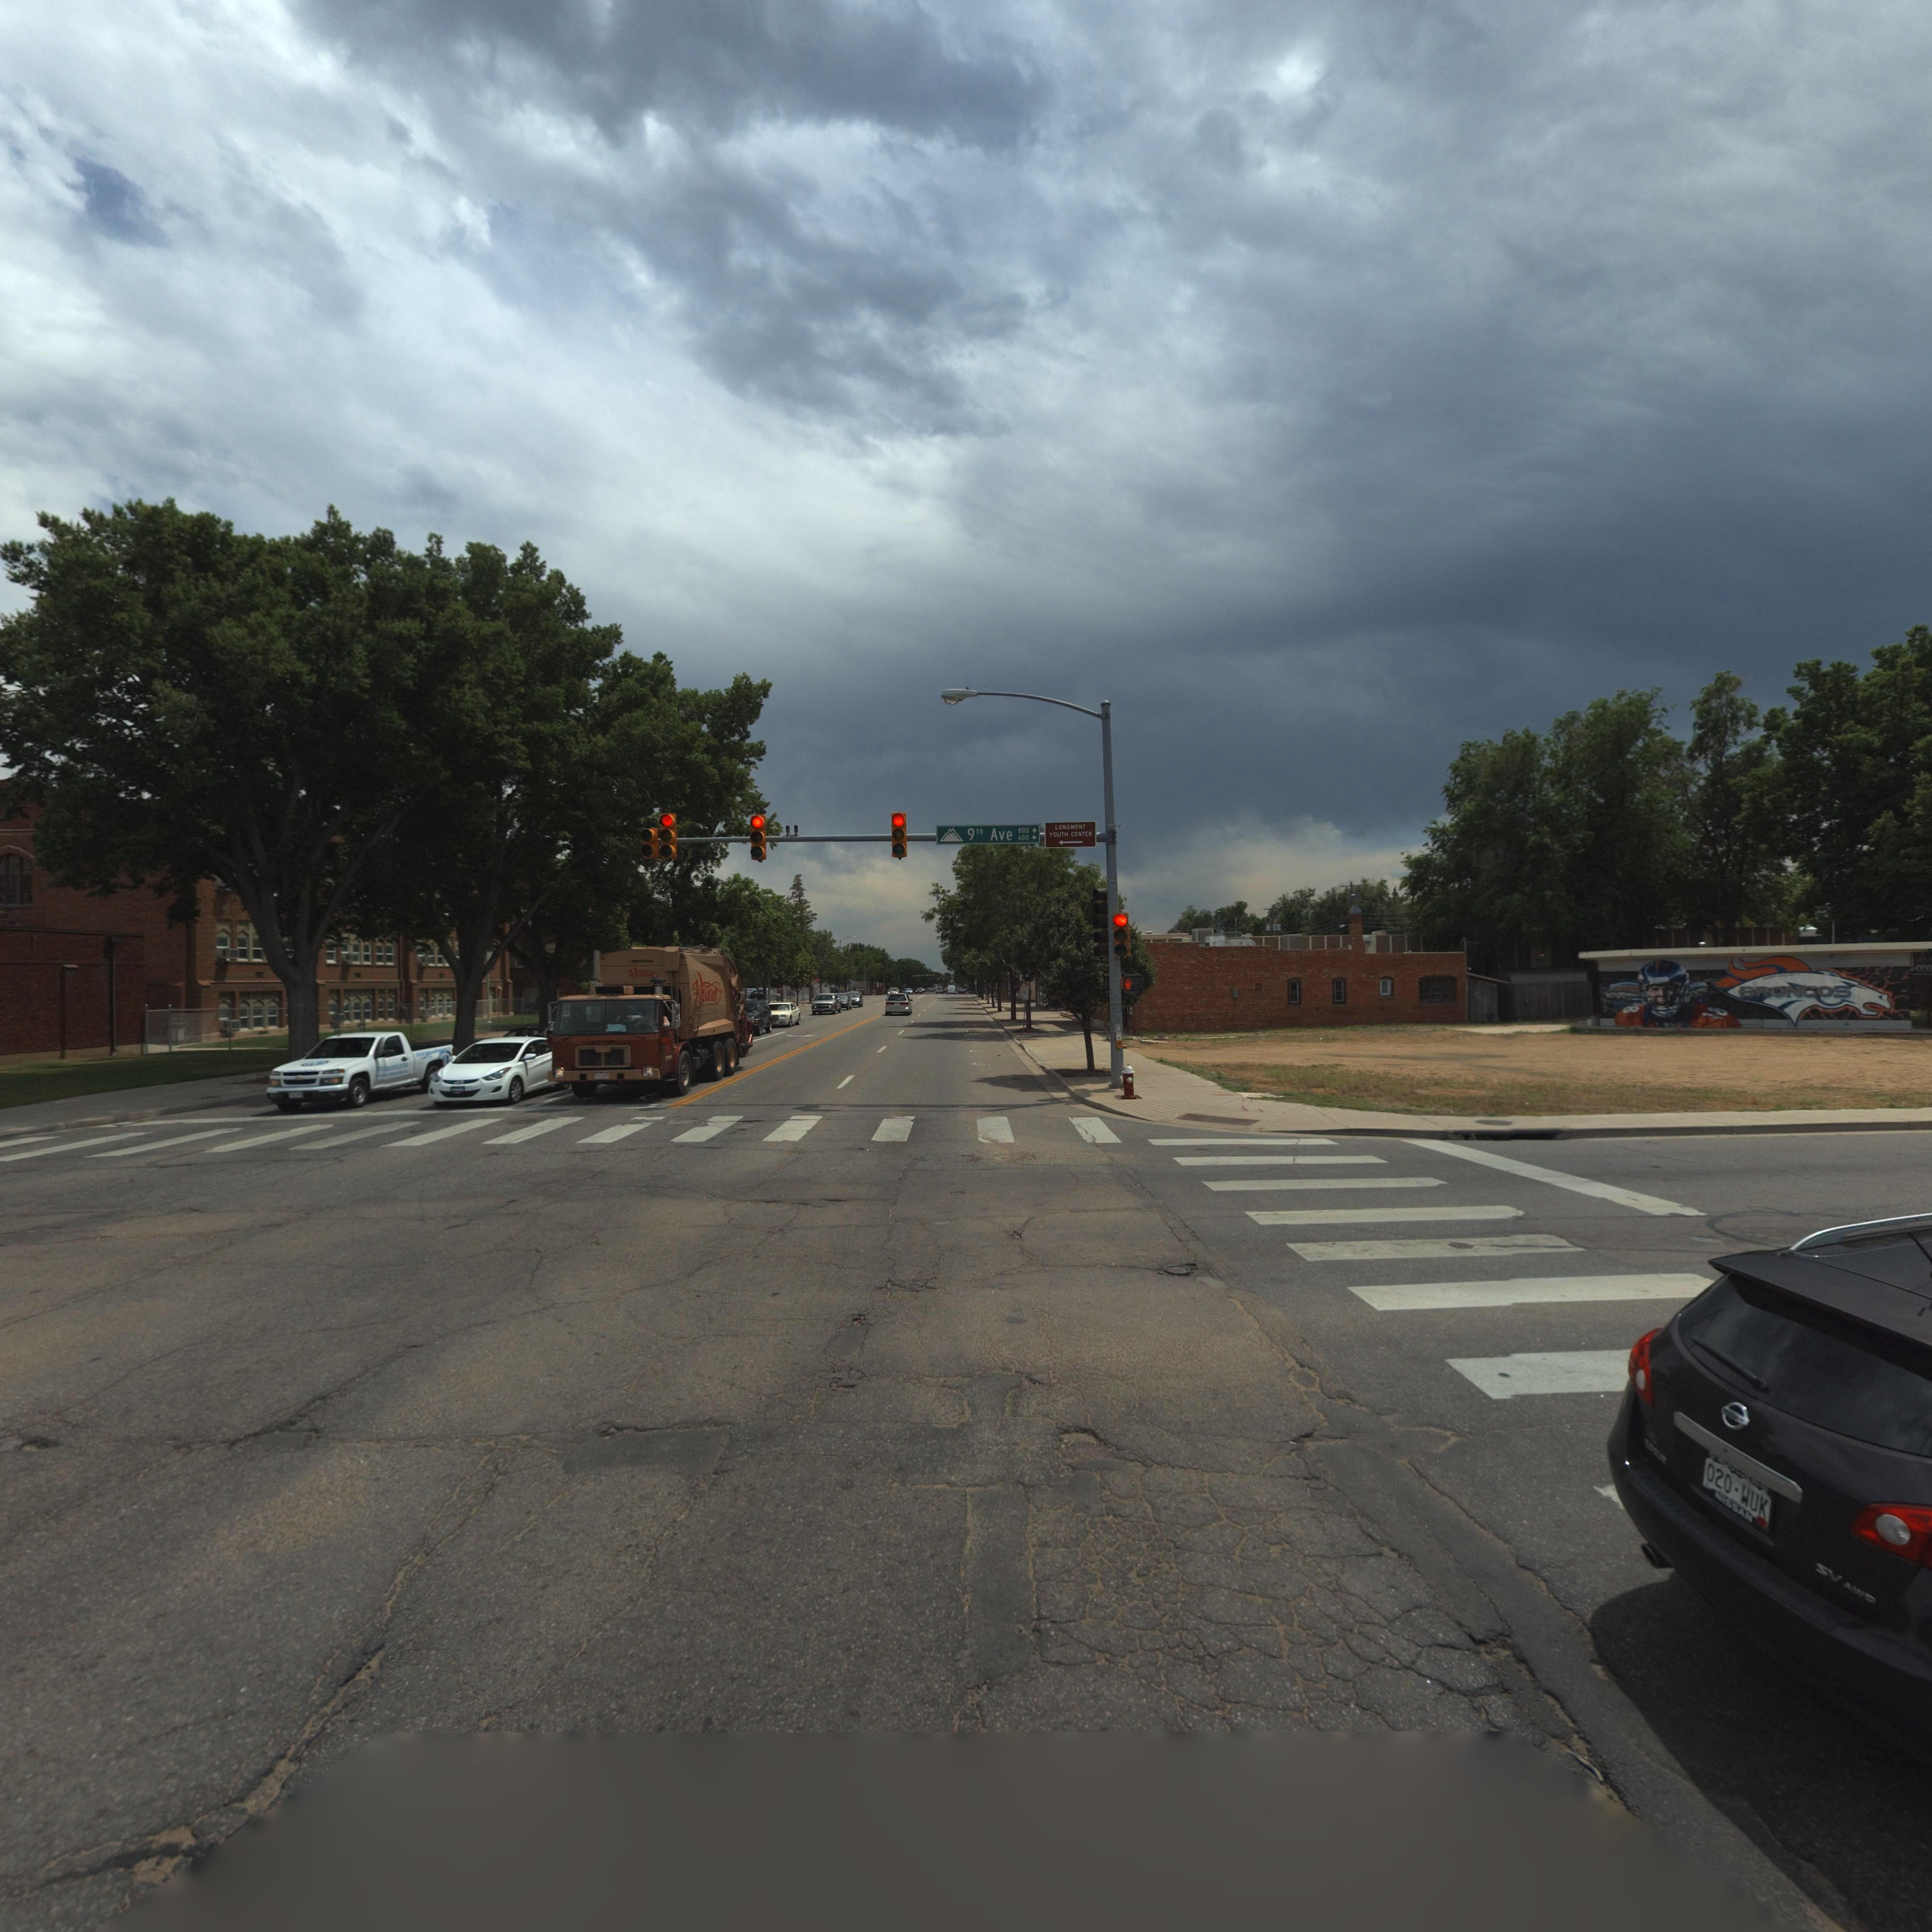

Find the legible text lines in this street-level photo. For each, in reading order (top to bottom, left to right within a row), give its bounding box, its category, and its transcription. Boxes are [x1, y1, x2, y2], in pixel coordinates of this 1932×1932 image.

[1018, 828, 1029, 833] StreetNumberRange: 800
[967, 828, 1012, 840] StreetName: 9th Ave
[1018, 834, 1037, 840] StreetNumberRange: 600 ->